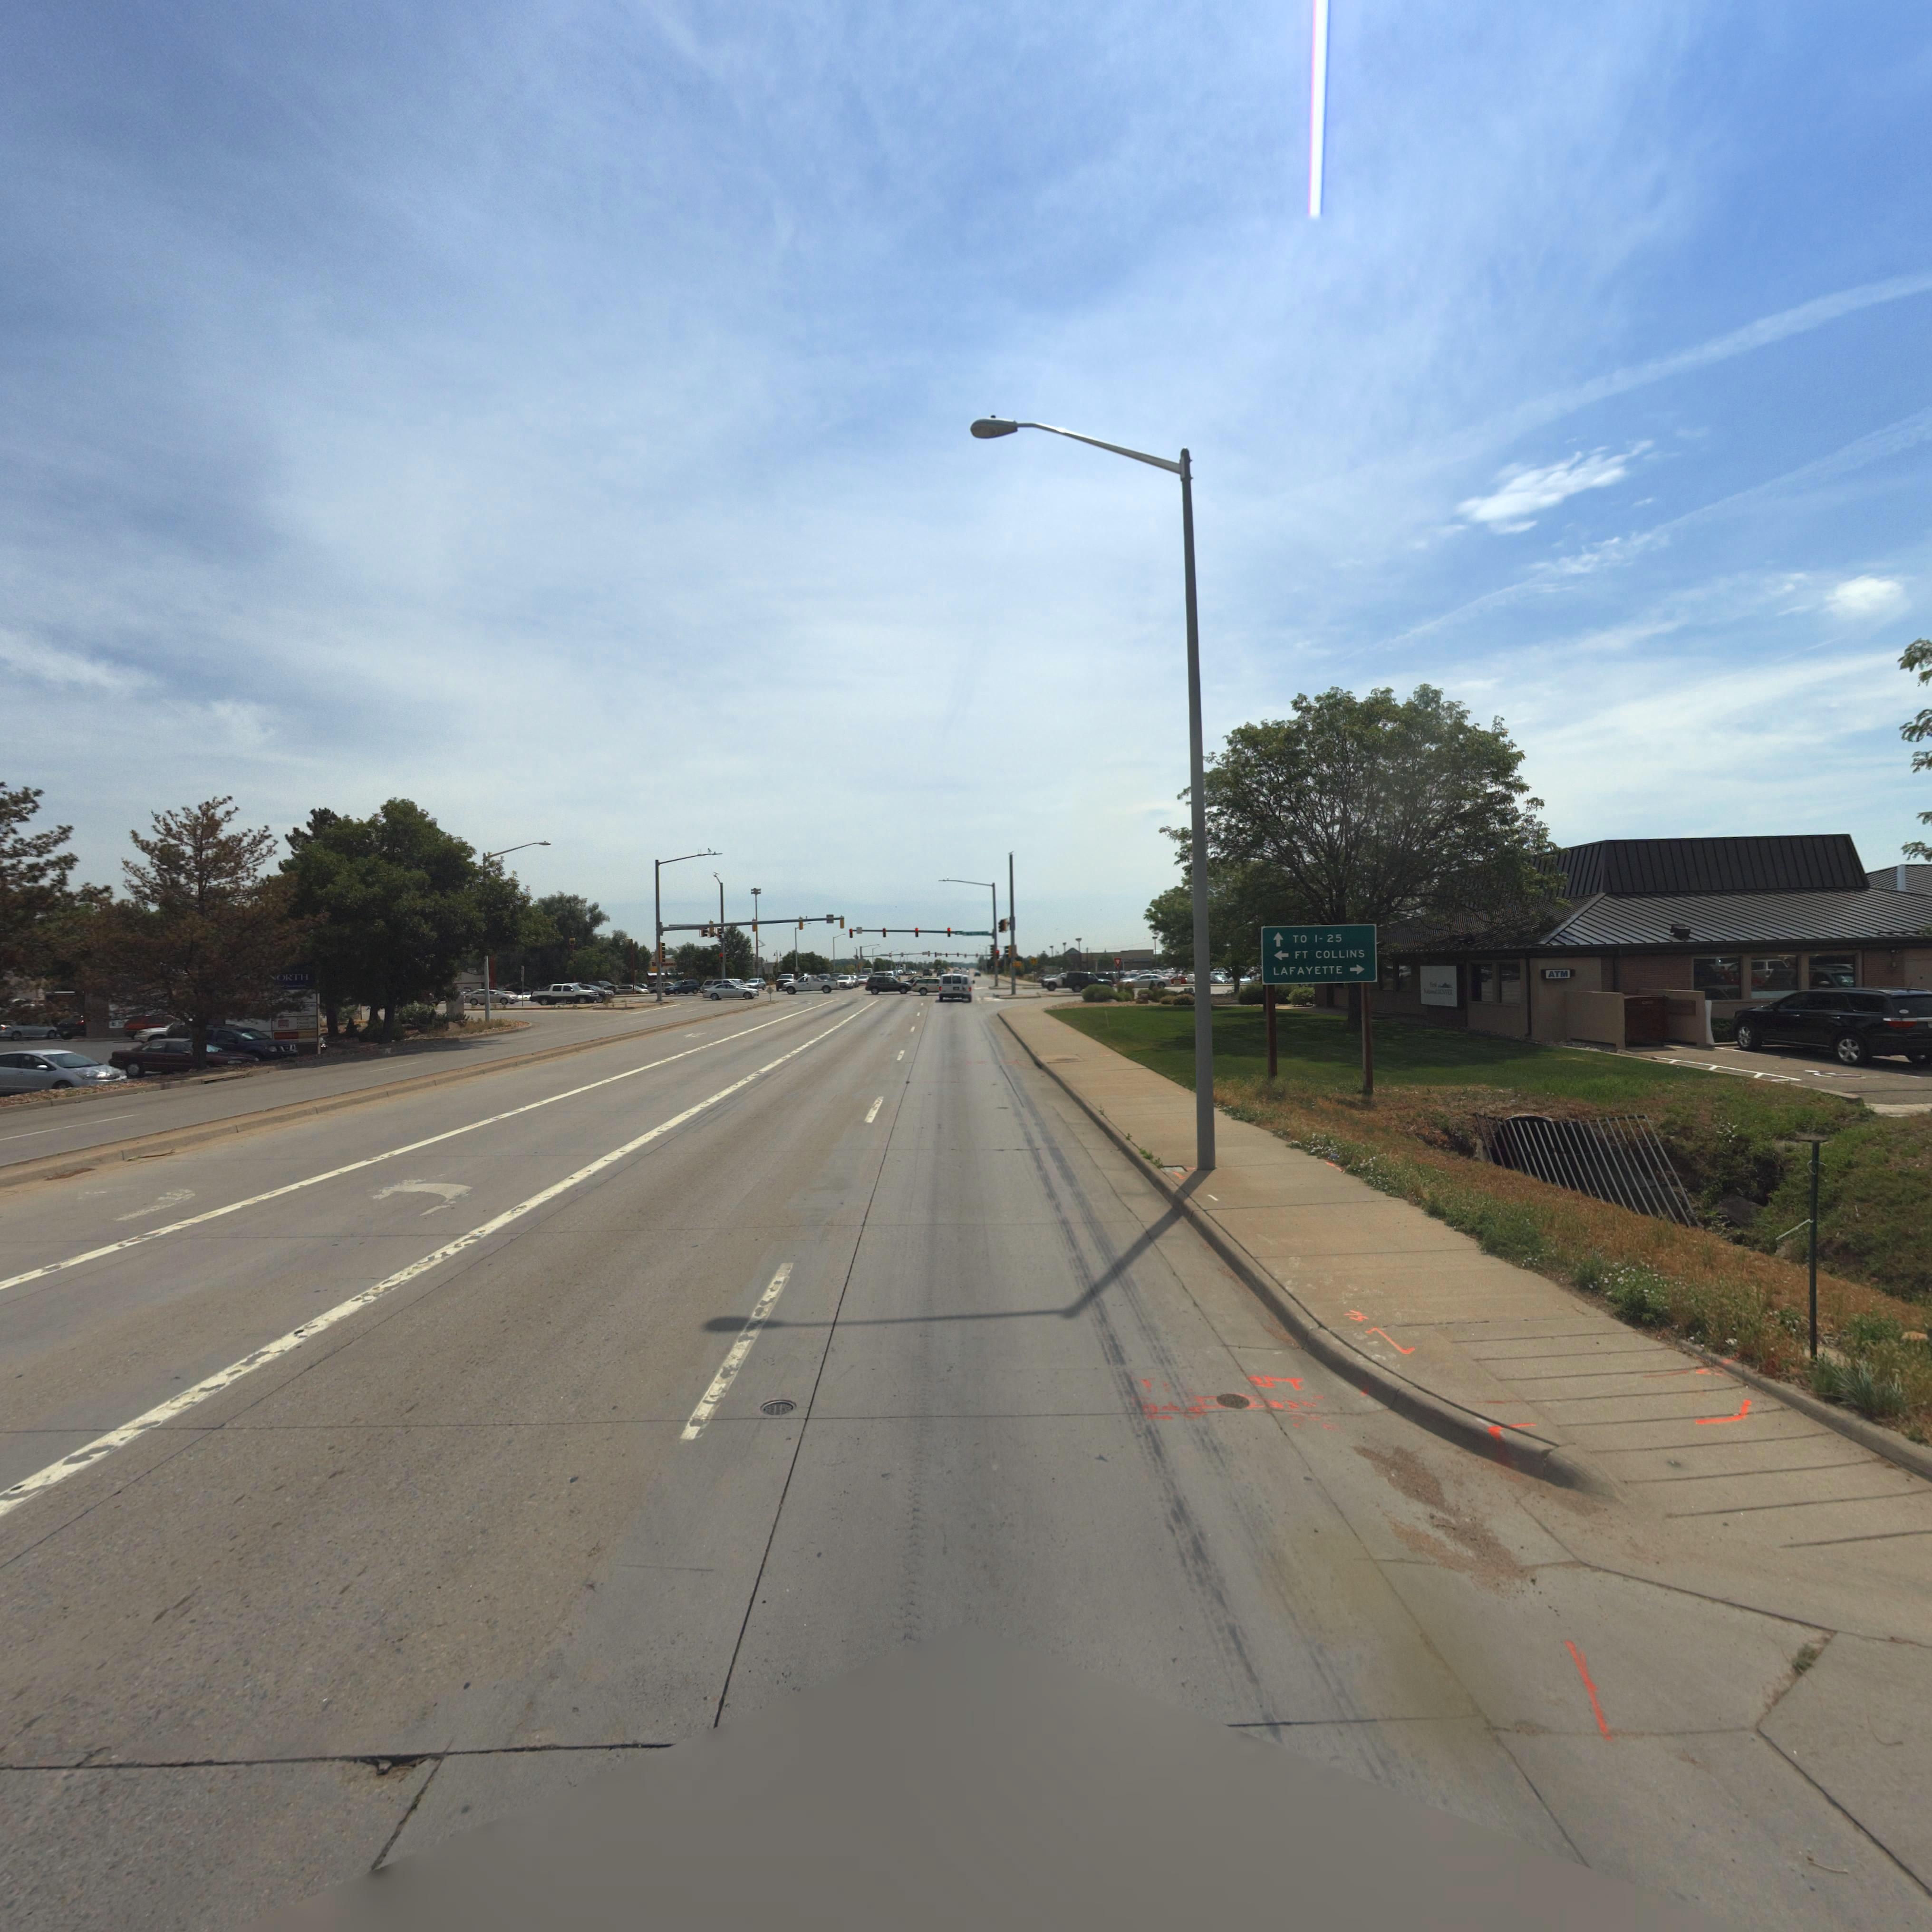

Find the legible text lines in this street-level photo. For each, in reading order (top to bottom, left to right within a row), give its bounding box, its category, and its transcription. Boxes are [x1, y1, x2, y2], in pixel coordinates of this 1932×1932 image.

[1437, 987, 1453, 995] BusinessName: DENVER